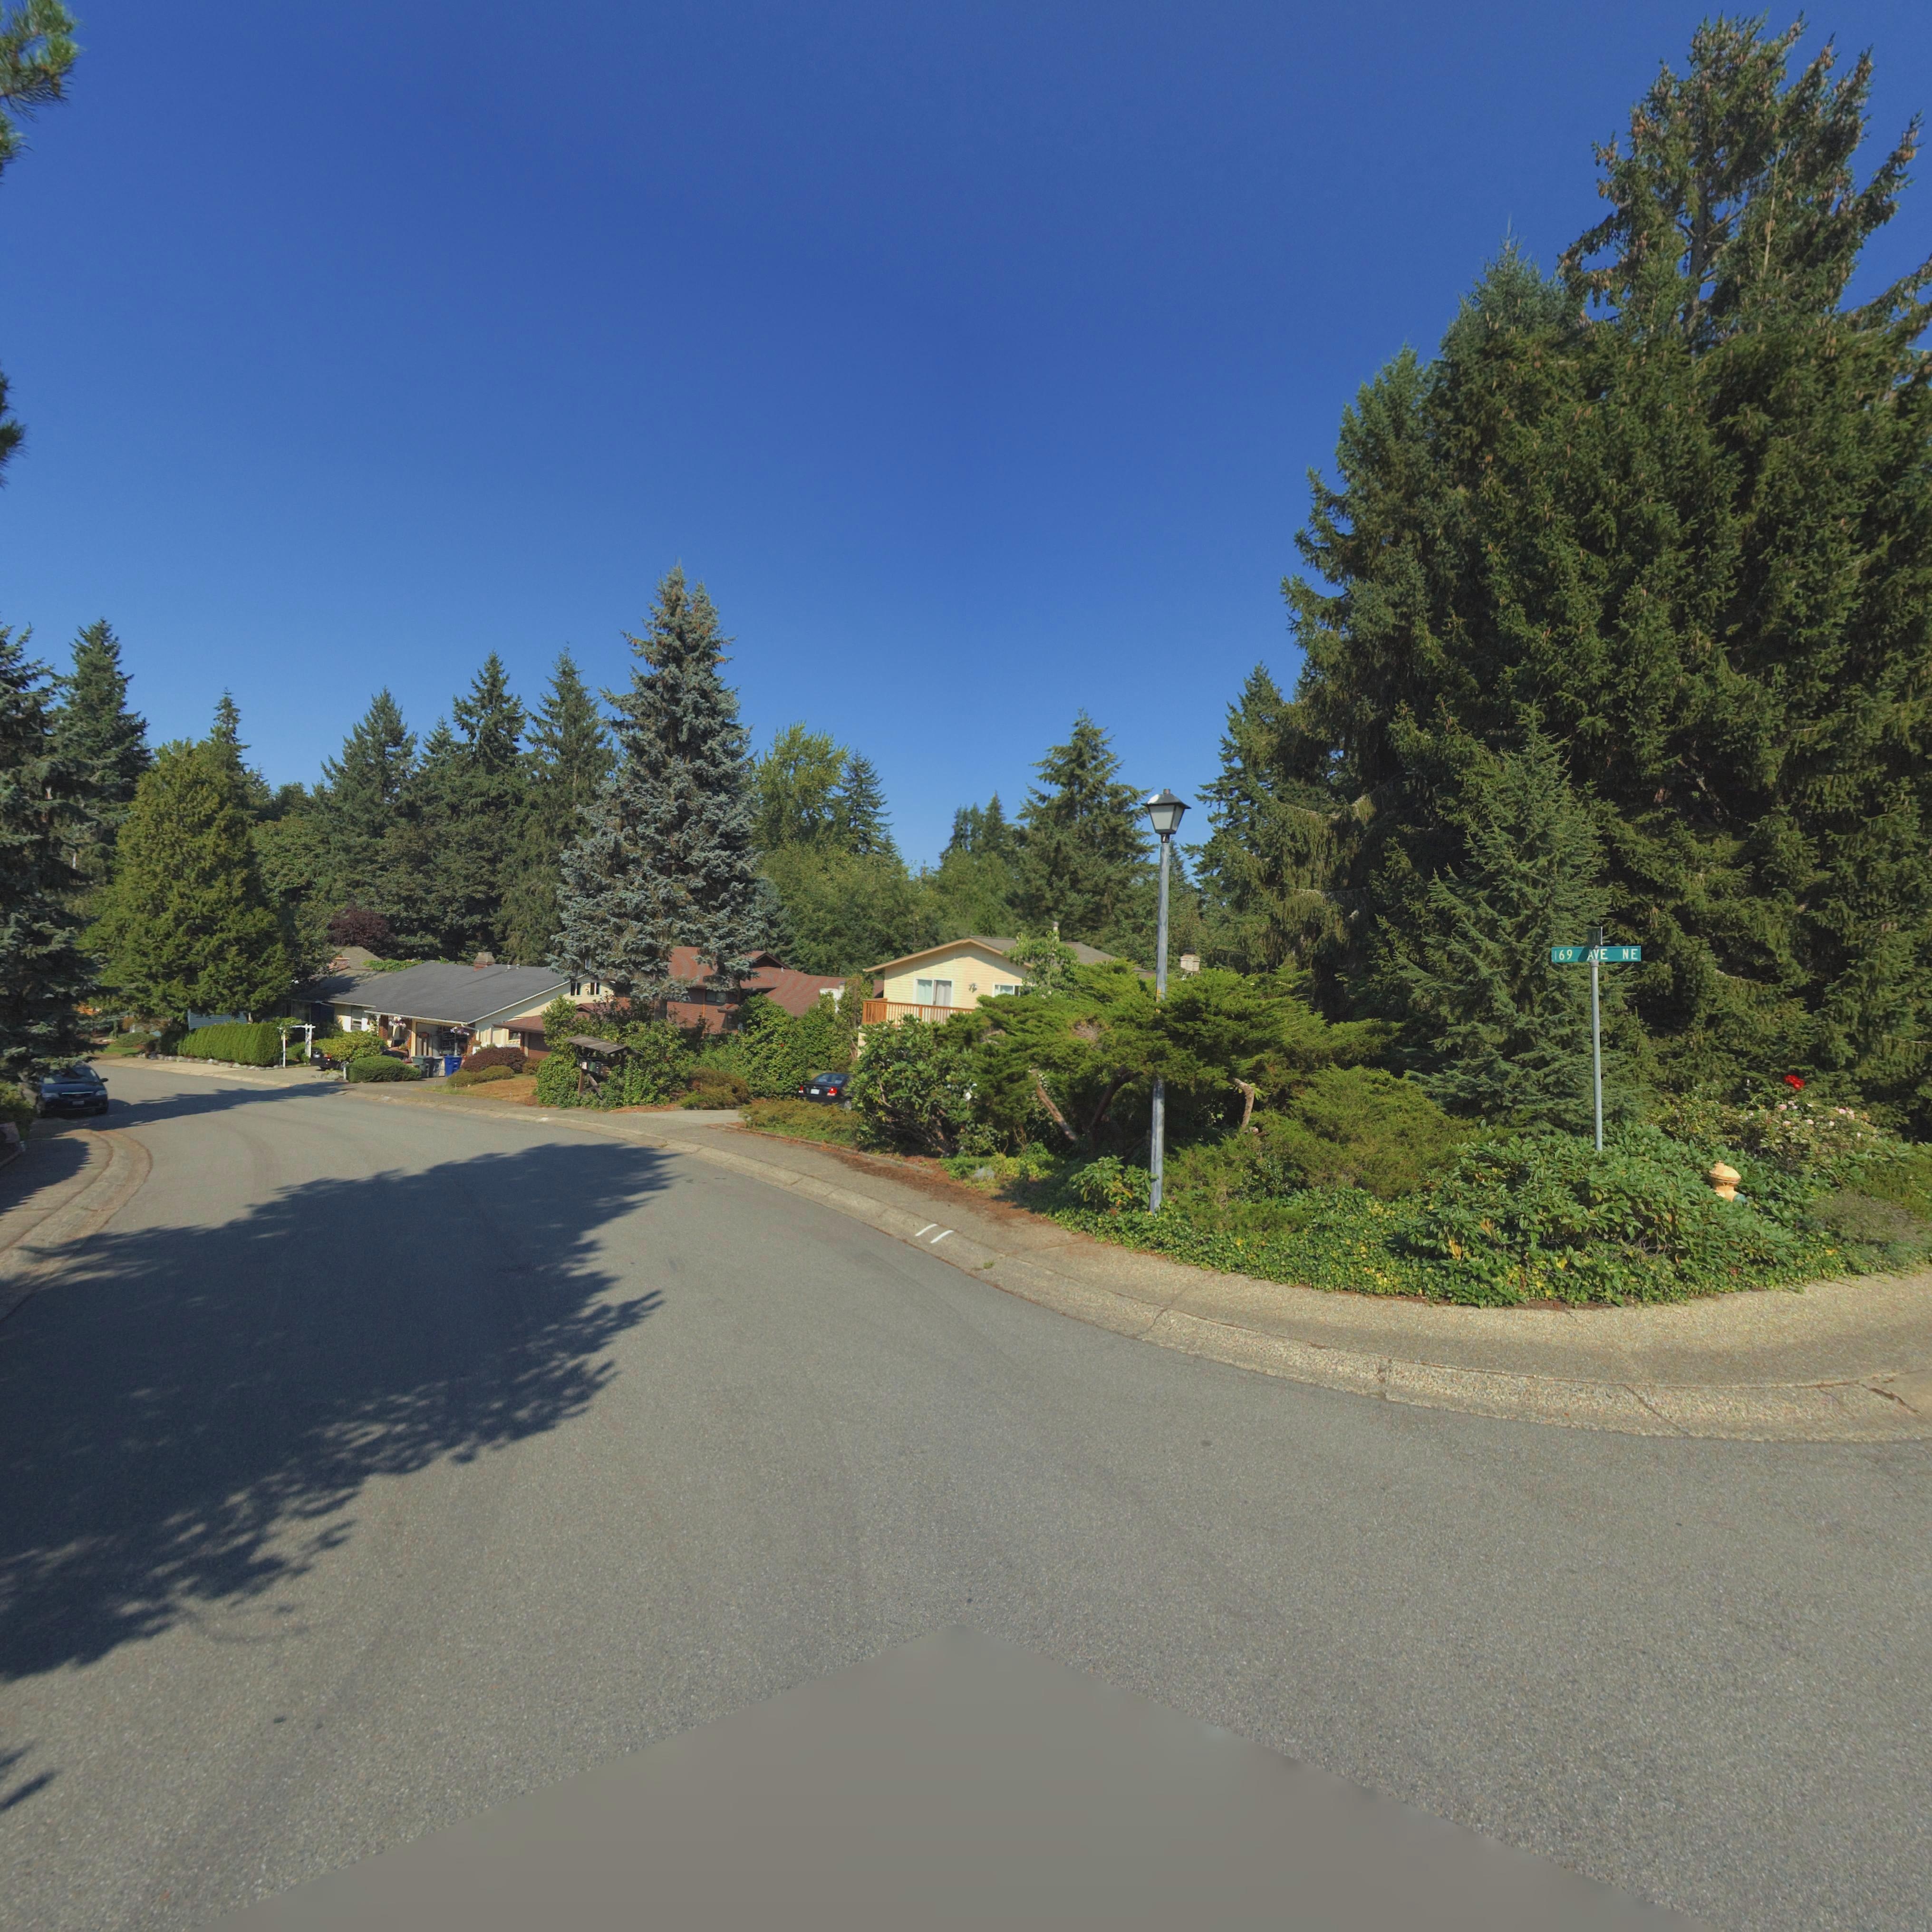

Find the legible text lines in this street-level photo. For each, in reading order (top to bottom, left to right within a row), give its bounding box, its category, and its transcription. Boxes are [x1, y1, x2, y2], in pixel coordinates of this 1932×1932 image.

[1553, 947, 1639, 961] StreetName: 169 AVE NE